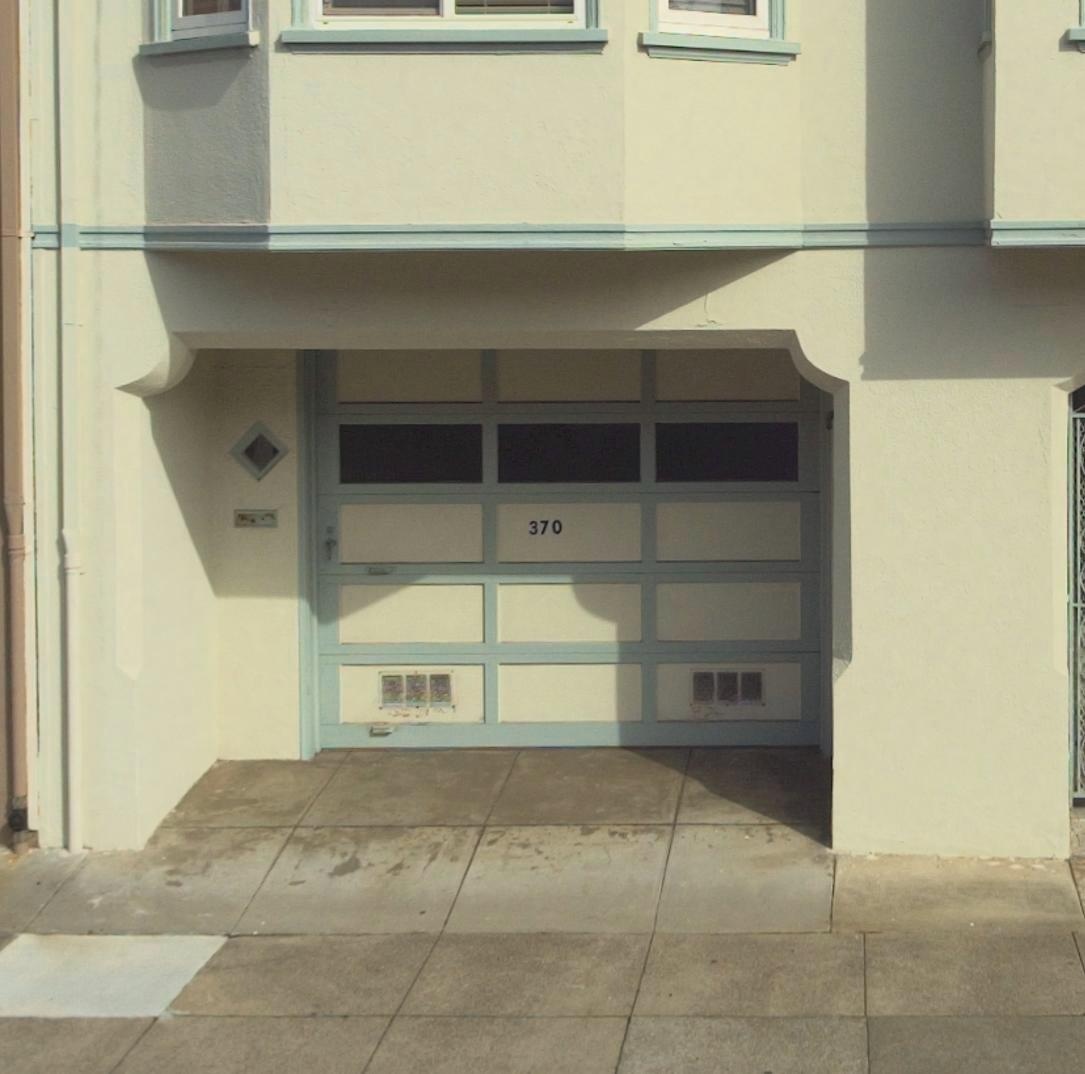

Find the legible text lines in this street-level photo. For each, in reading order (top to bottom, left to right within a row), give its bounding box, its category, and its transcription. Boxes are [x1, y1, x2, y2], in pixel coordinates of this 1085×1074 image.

[527, 518, 564, 536] StreetNumber: 370